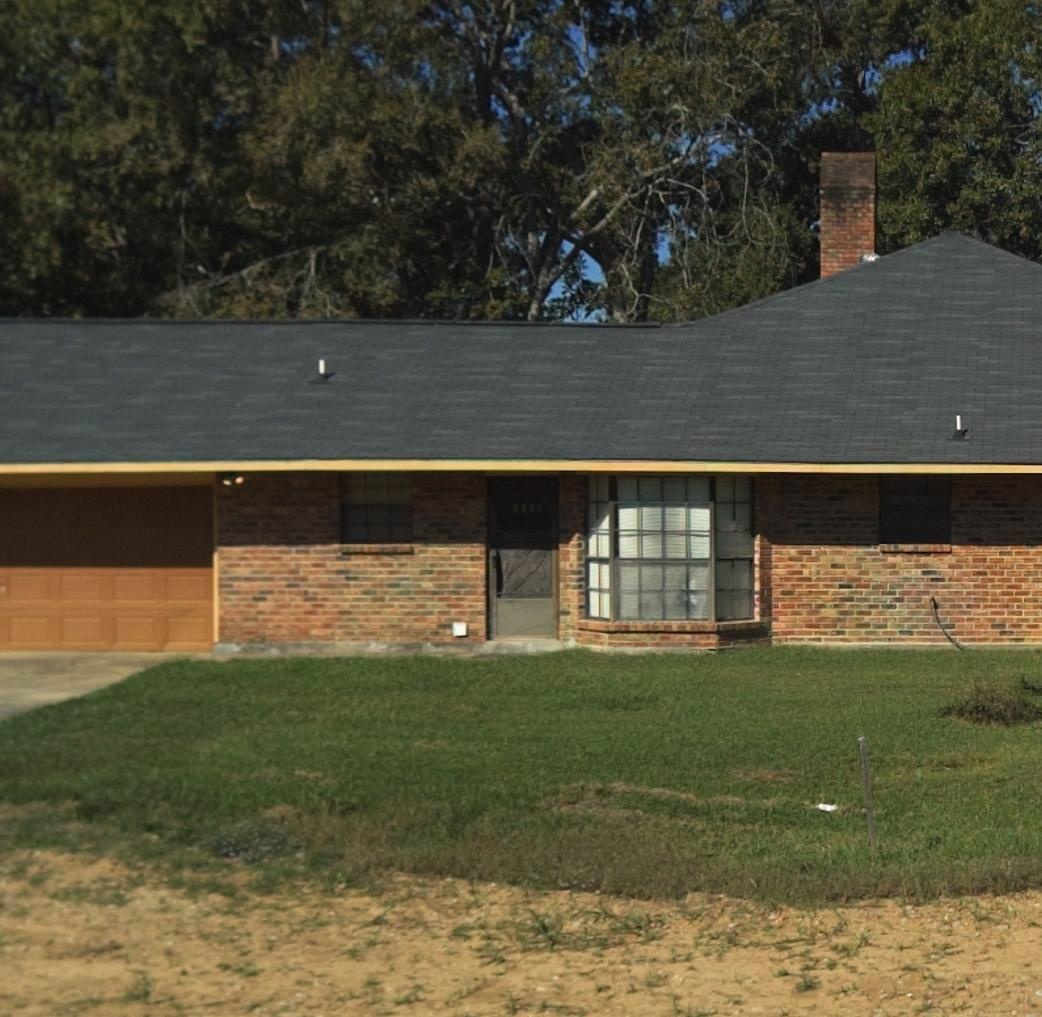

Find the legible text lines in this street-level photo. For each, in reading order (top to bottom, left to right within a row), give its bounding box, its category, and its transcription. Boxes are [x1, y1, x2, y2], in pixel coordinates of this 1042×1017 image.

[512, 503, 543, 514] StreetNumber: *890